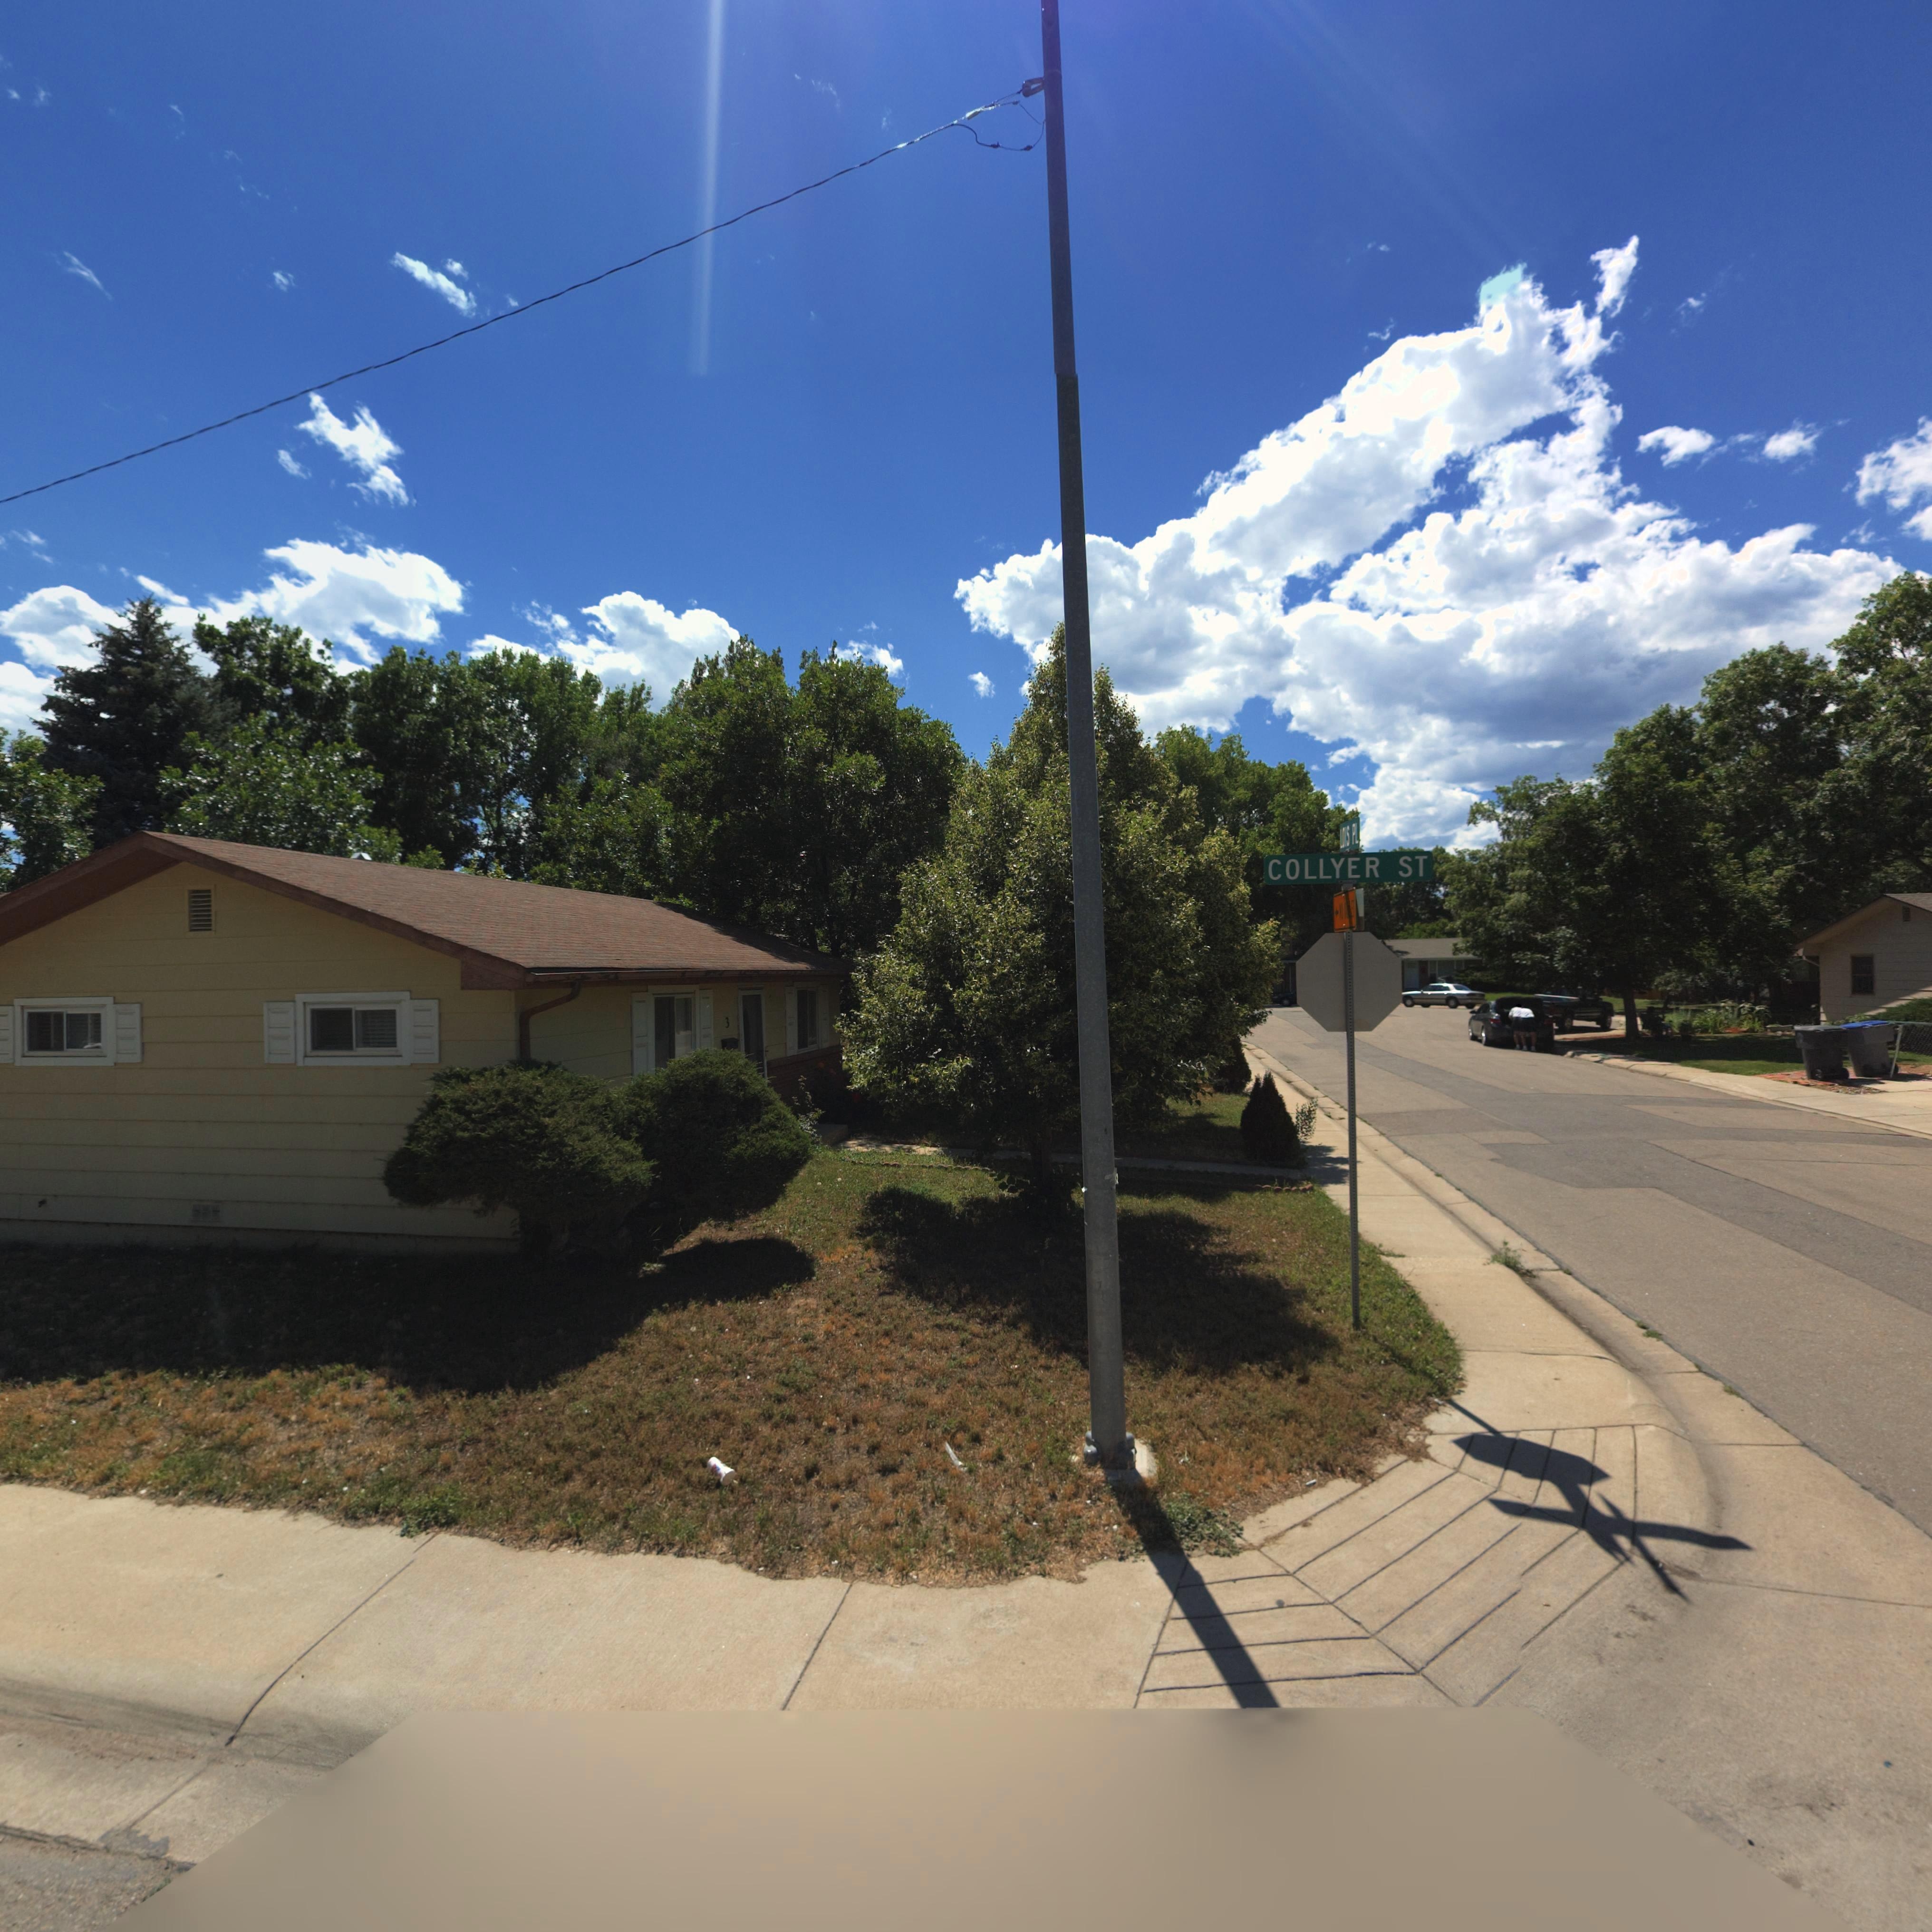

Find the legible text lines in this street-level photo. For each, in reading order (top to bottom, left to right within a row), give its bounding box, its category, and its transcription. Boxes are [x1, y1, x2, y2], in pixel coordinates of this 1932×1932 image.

[1339, 822, 1359, 849] StreetName: L**S PL
[1267, 855, 1428, 881] StreetName: COLLYER ST
[724, 1016, 730, 1029] StreetNumber: 3